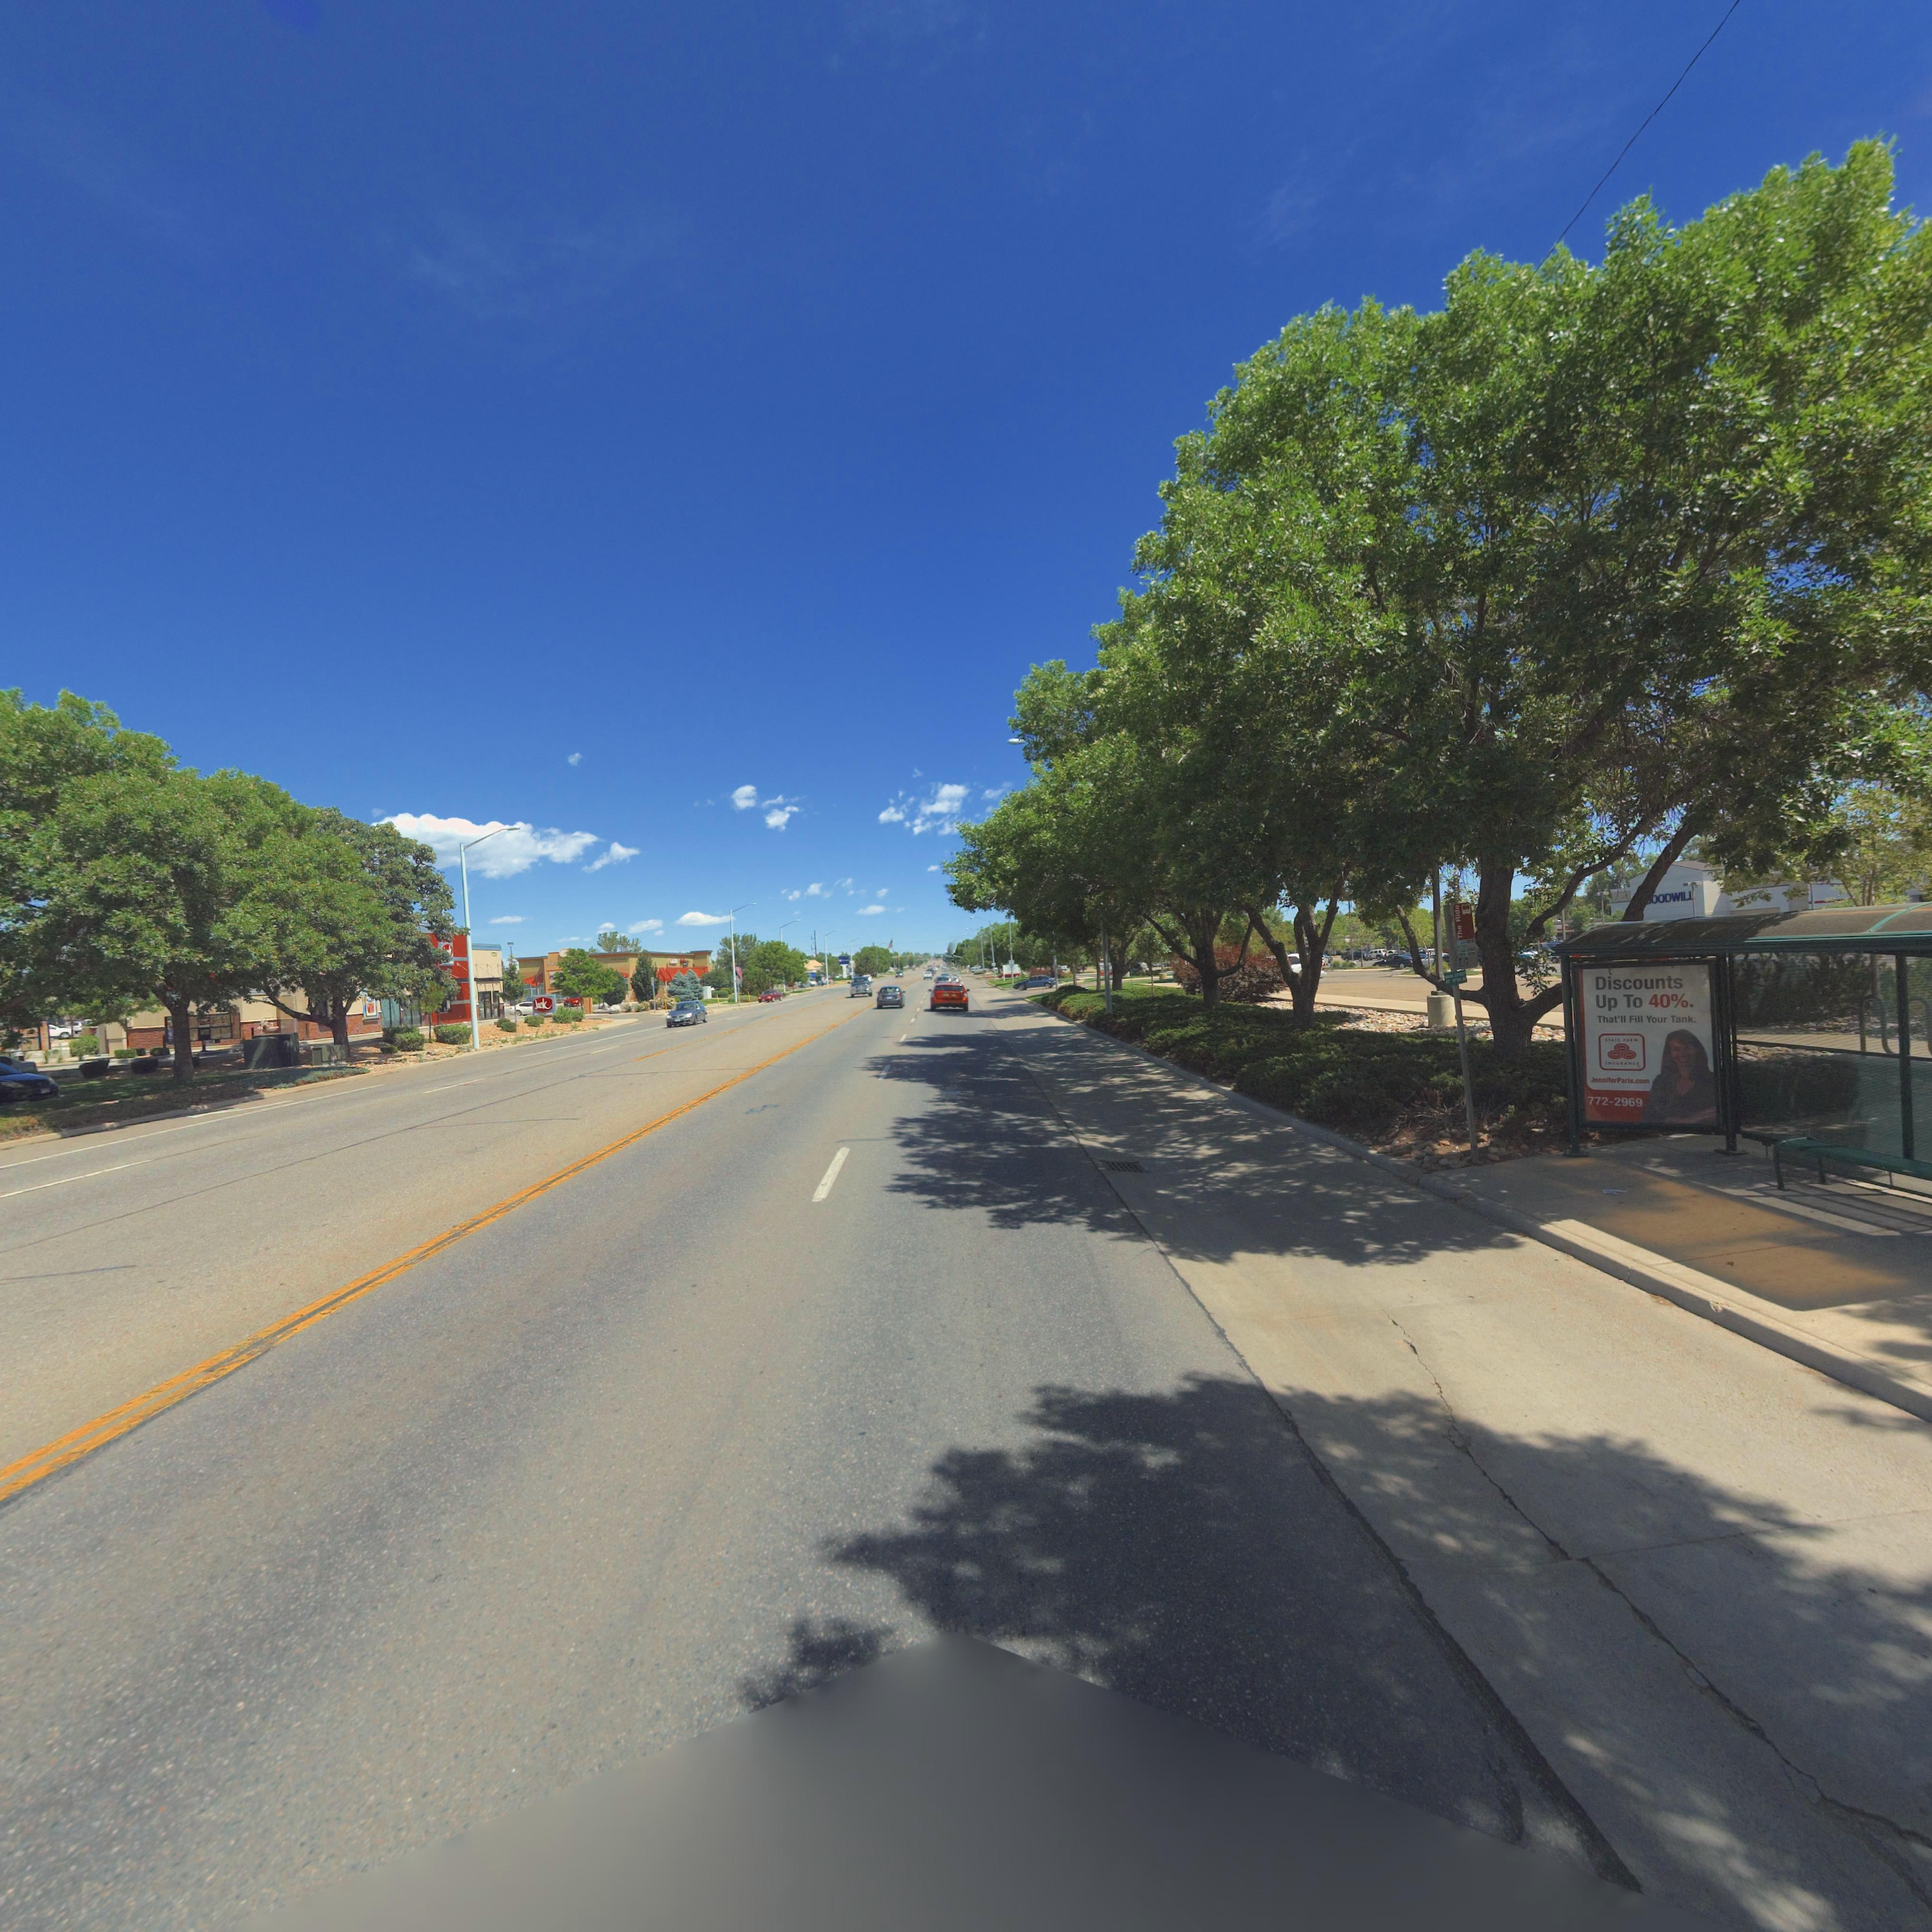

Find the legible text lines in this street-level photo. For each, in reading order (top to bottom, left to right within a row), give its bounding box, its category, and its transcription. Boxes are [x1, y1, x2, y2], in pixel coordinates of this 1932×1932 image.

[1647, 890, 1696, 904] BusinessName: *OODWIL*
[490, 952, 497, 956] StreetNumber: 1***
[534, 997, 552, 1010] BusinessName: Jack